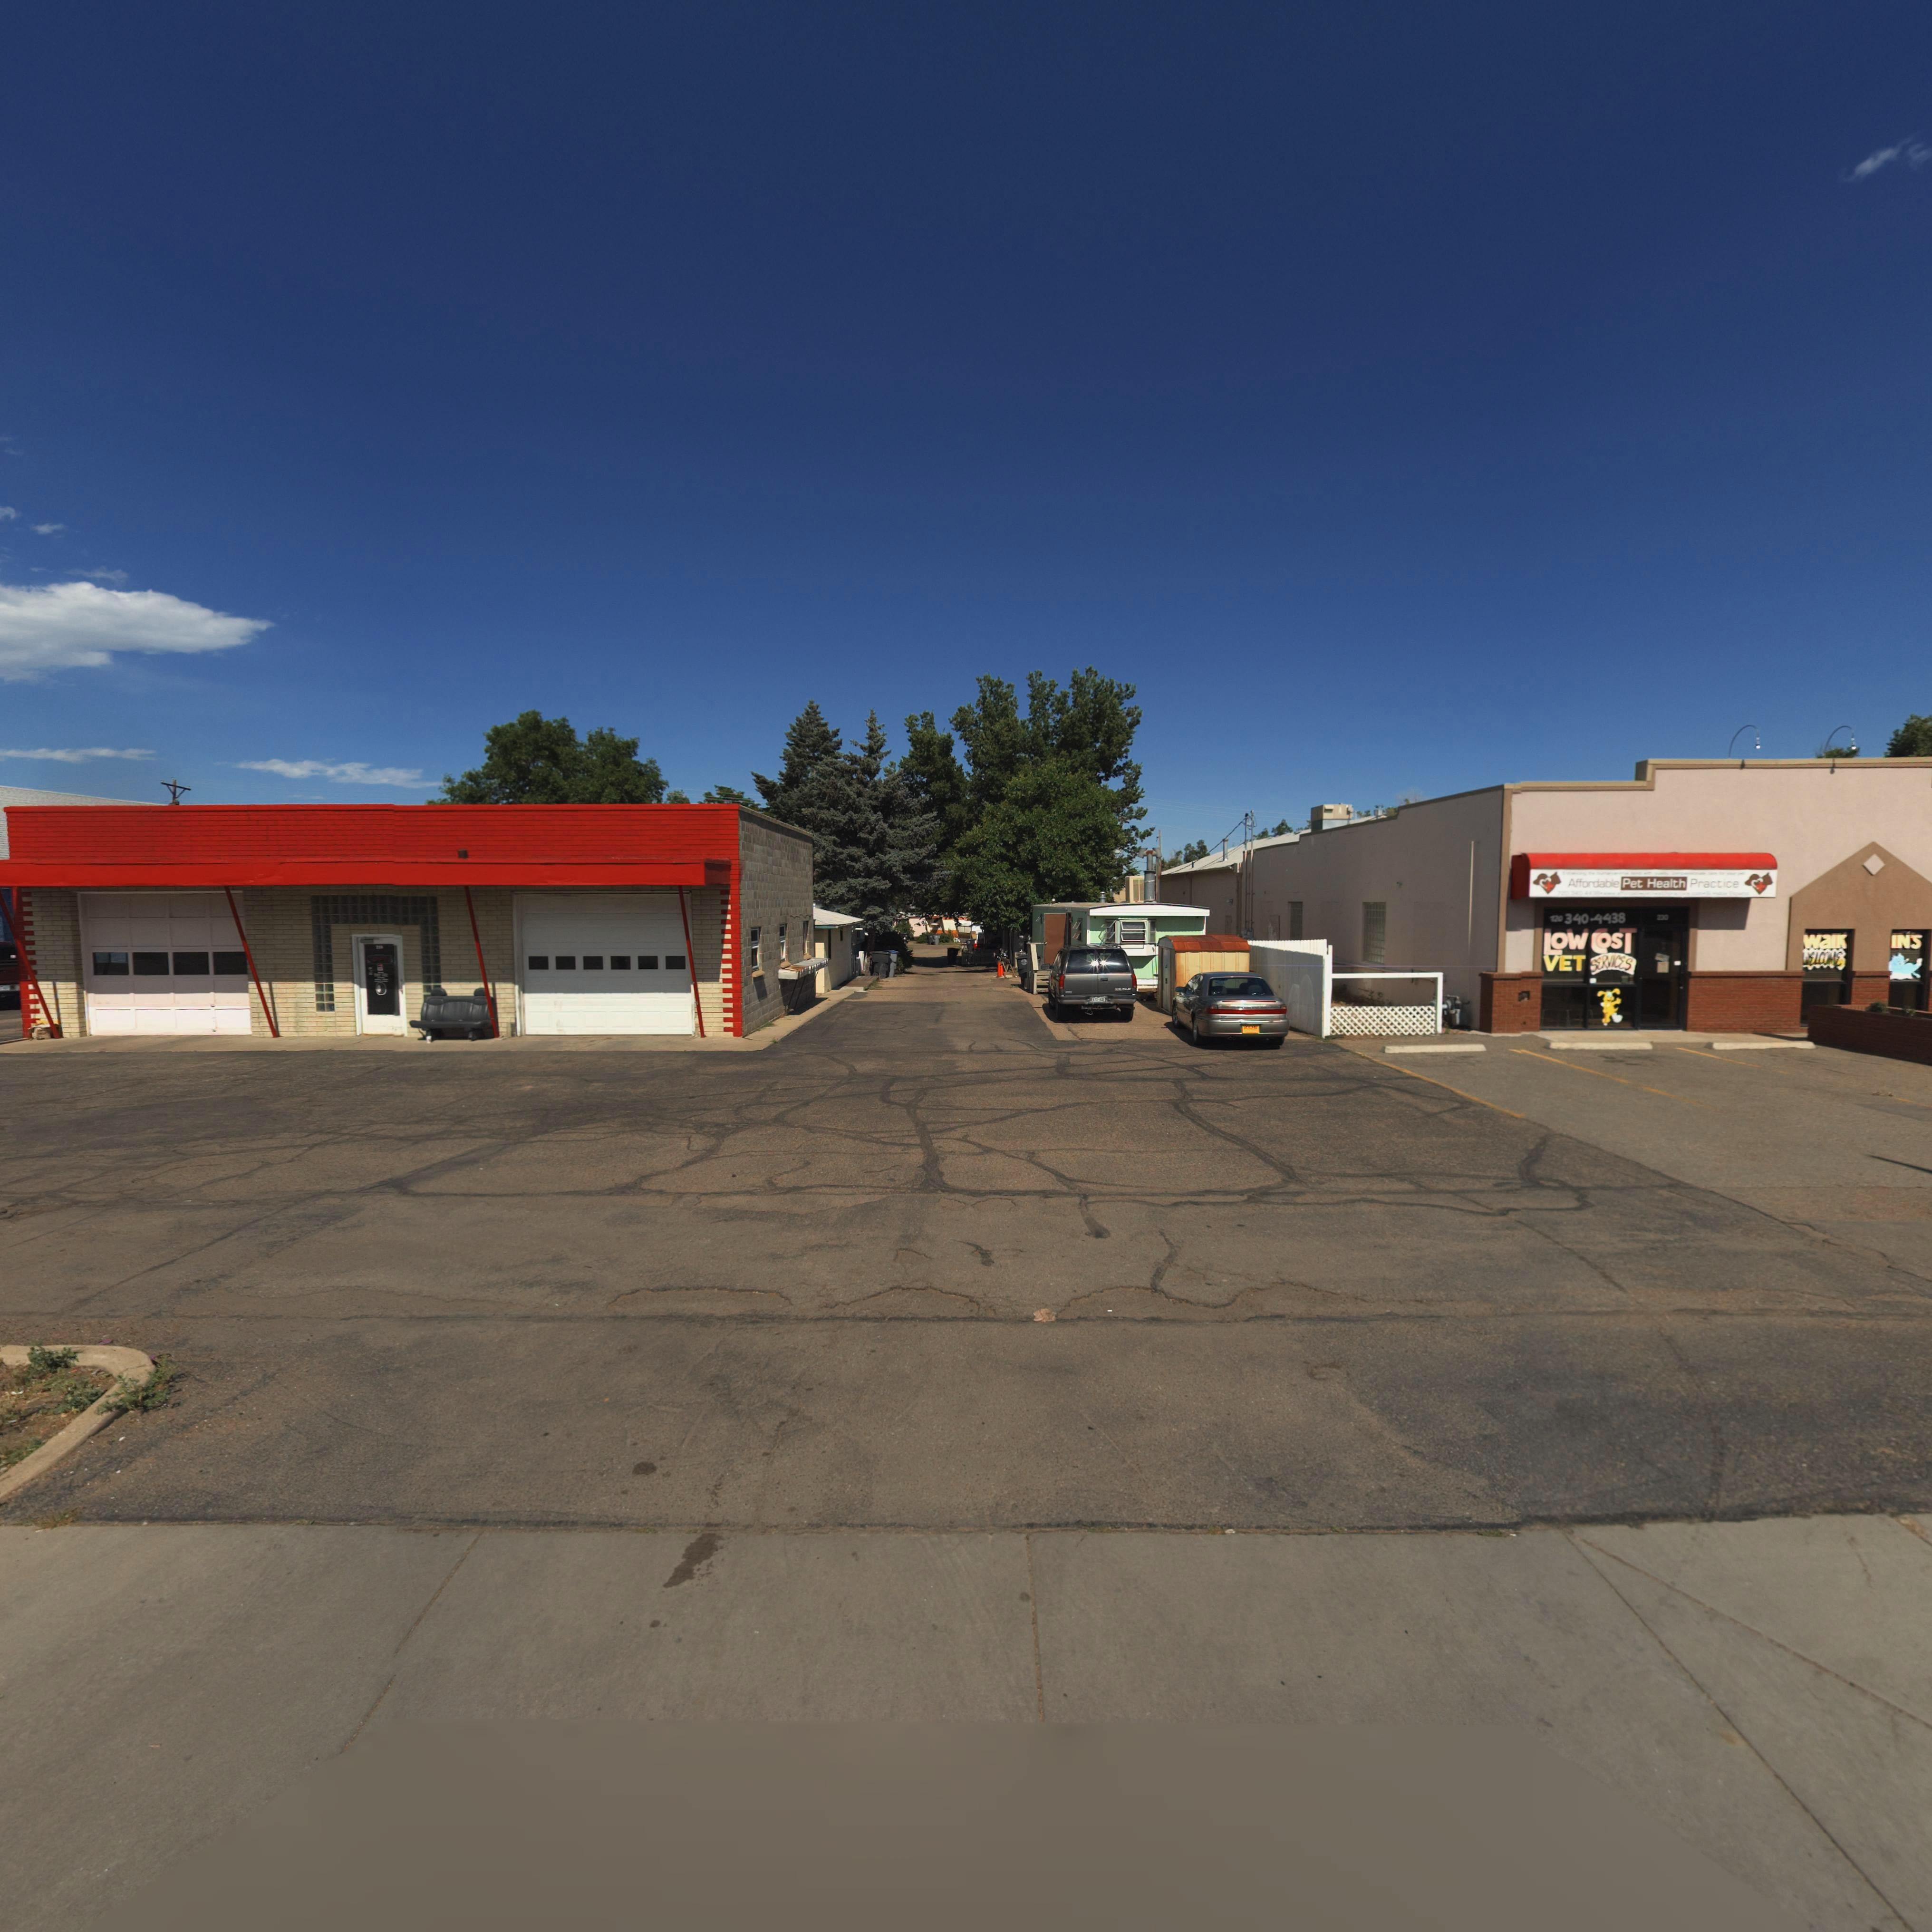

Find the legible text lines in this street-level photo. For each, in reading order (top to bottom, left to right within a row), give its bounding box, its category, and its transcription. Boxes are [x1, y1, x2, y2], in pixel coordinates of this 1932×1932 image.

[1567, 877, 1740, 889] BusinessName: Affordable Pet Health Practice
[1656, 914, 1670, 920] StreetNumber: 230
[375, 945, 384, 949] StreetNumber: 2**